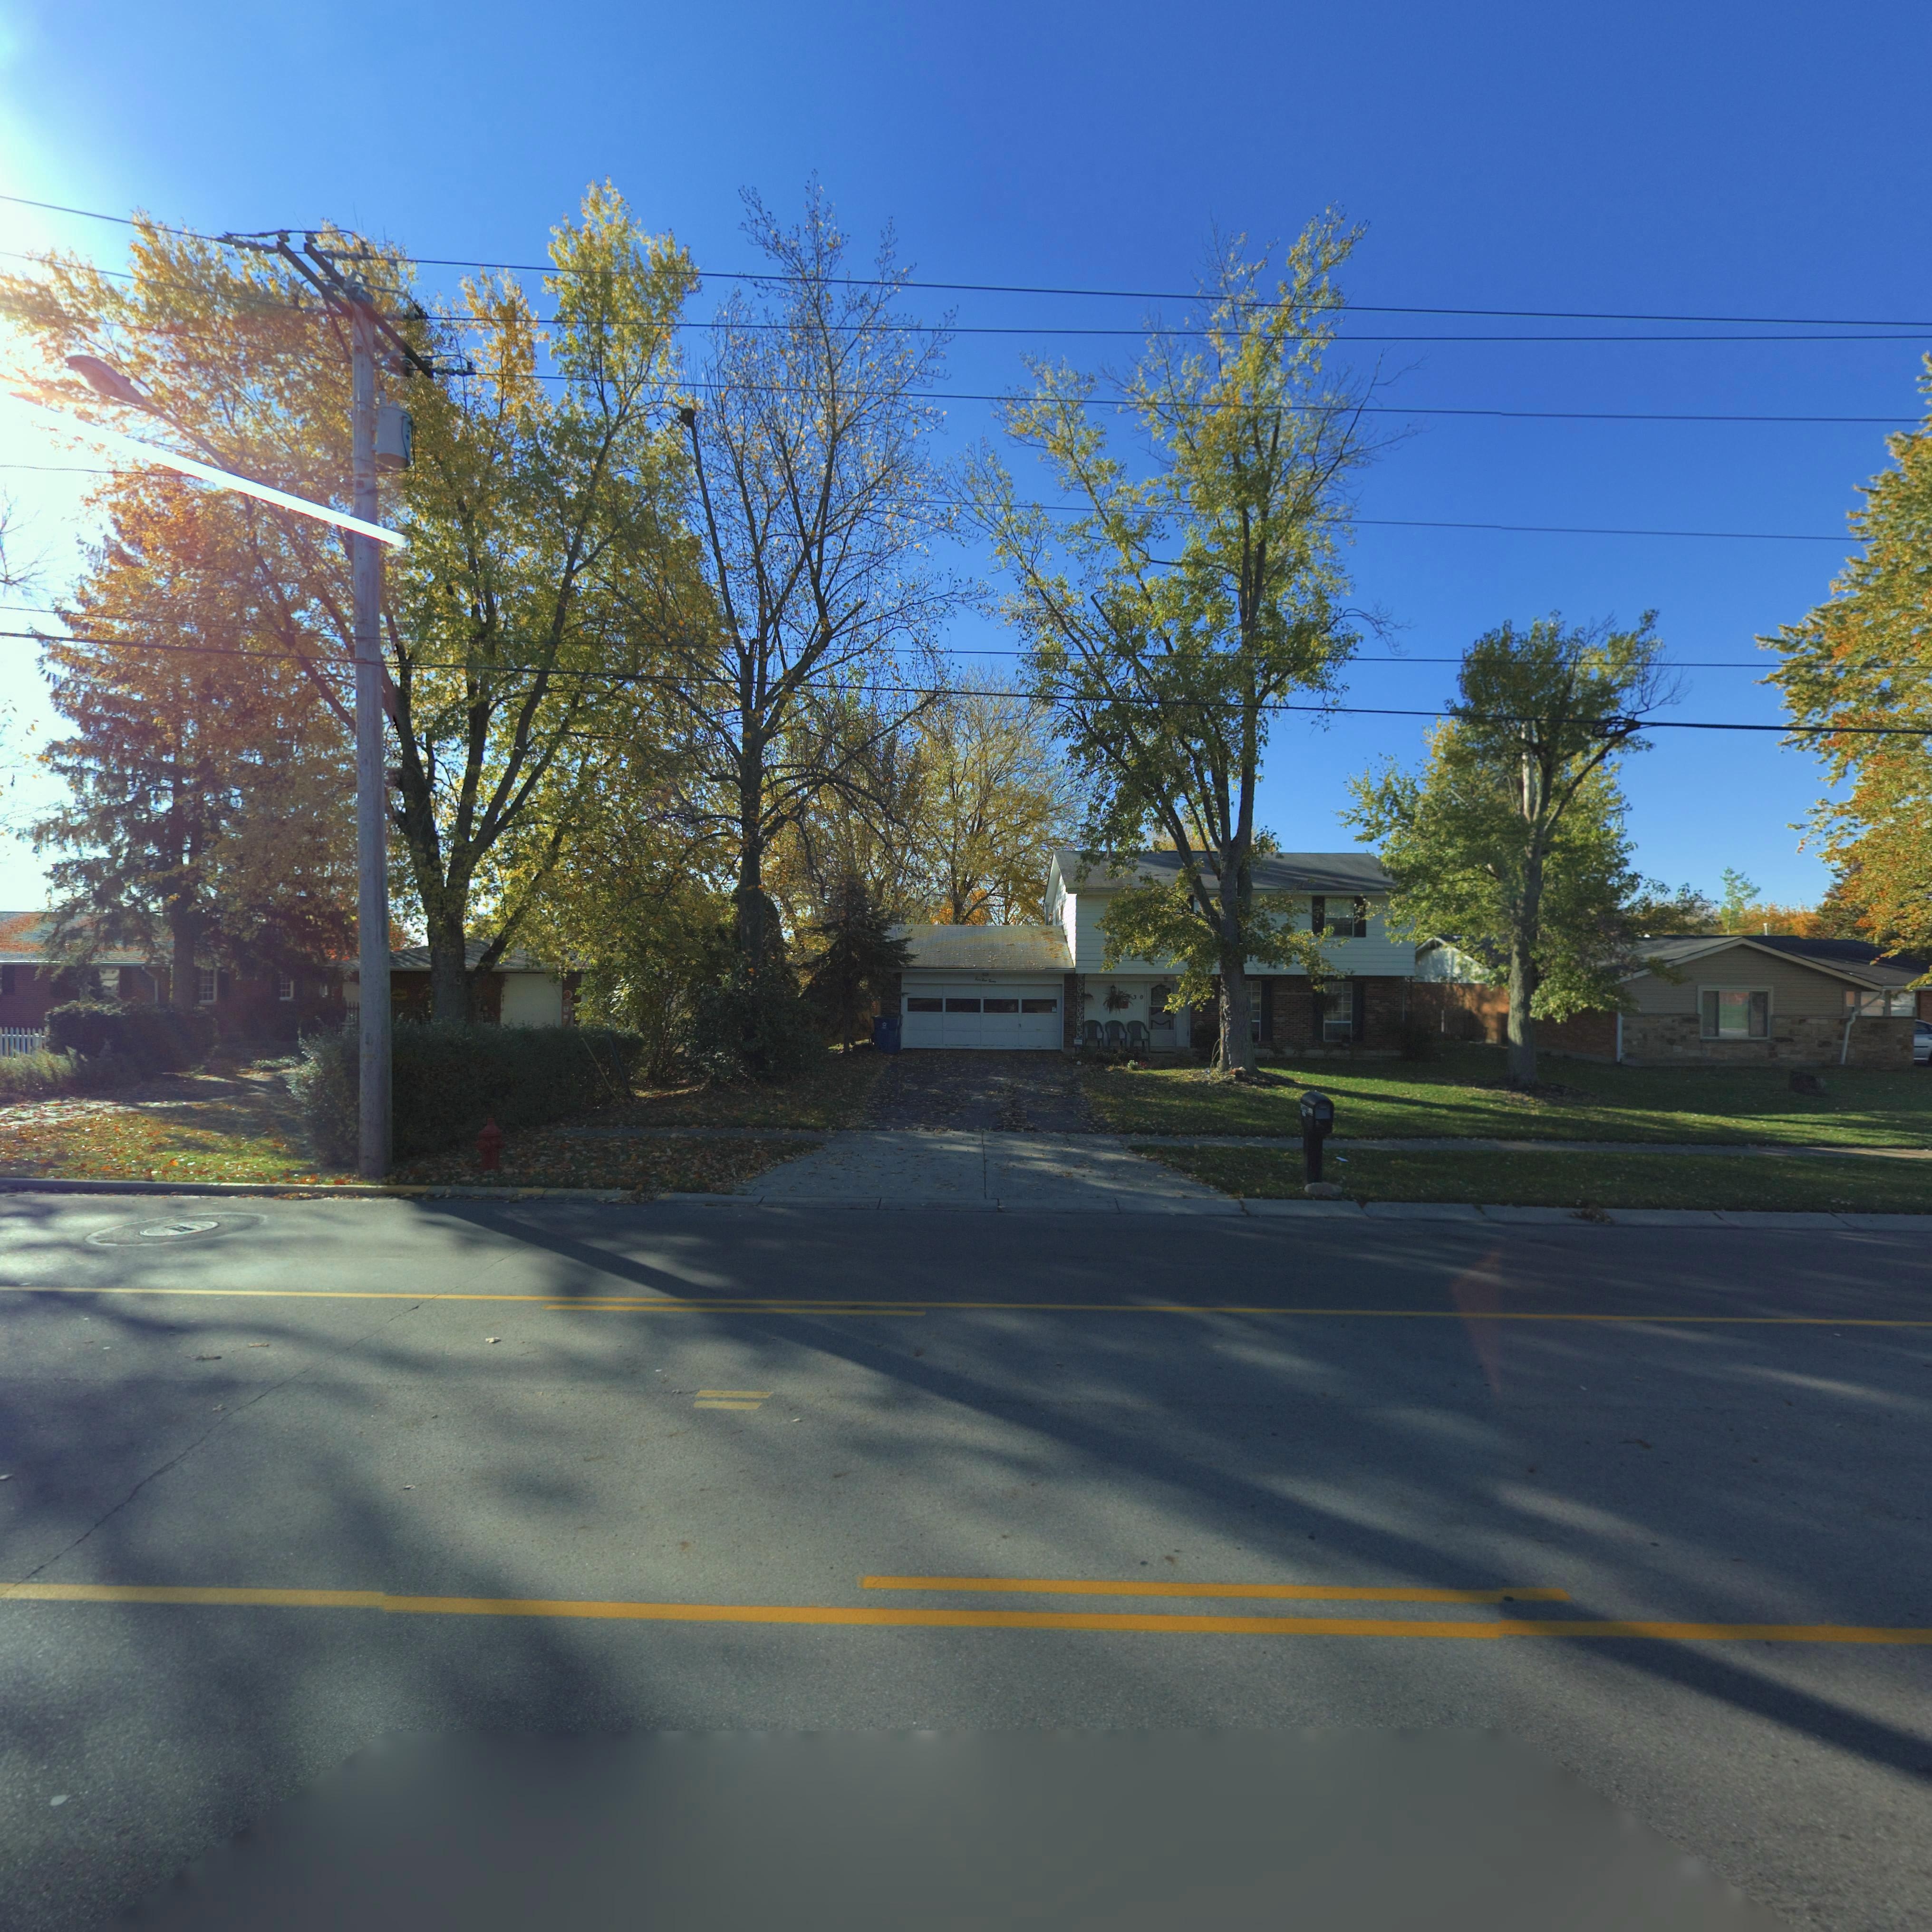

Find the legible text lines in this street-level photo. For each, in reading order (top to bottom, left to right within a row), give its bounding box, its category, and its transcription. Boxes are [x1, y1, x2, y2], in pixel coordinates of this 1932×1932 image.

[1132, 995, 1143, 1000] StreetNumber: 30